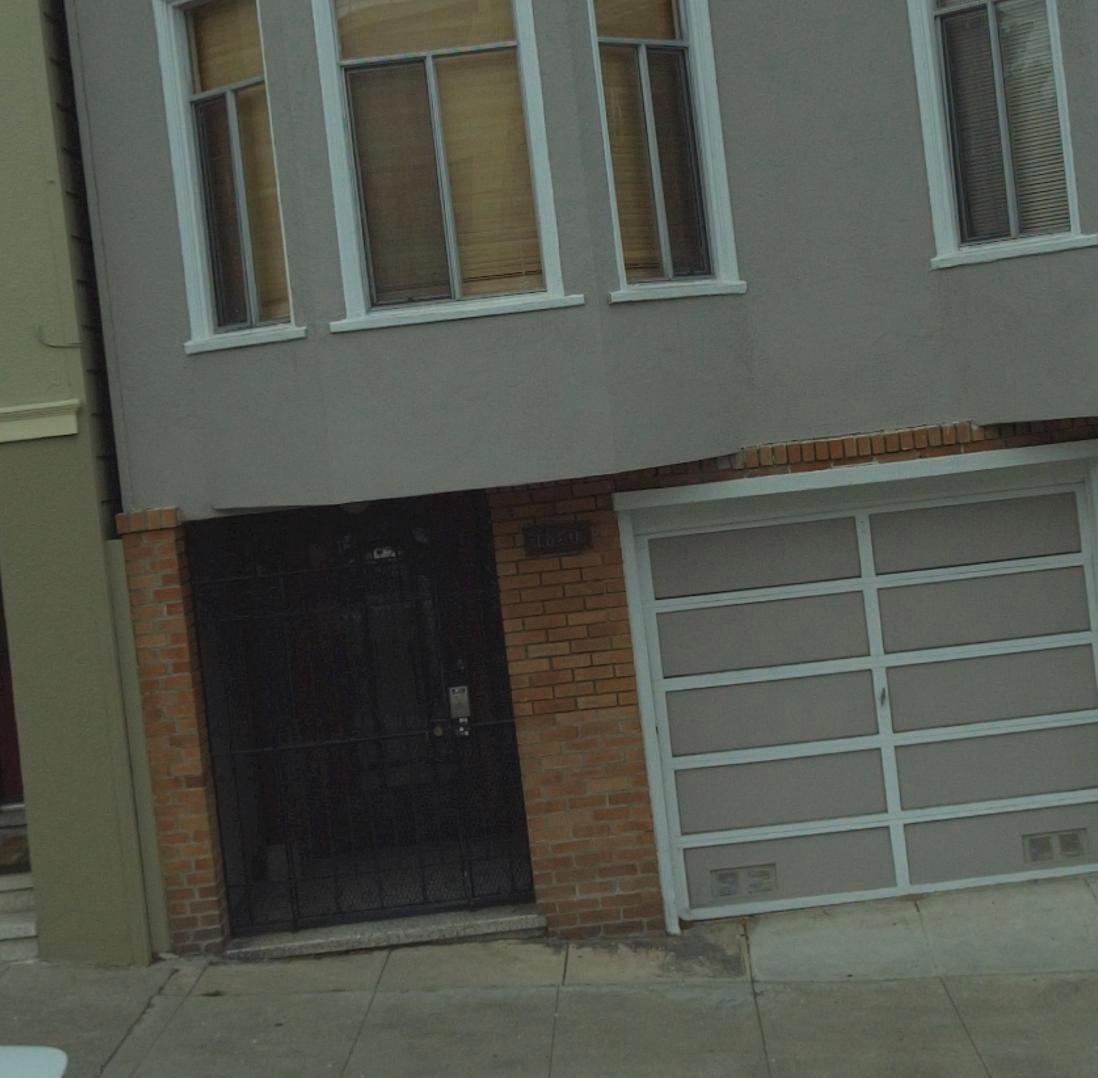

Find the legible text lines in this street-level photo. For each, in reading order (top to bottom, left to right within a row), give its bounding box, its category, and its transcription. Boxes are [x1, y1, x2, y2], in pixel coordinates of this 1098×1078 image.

[532, 523, 581, 552] StreetNumber: 1850